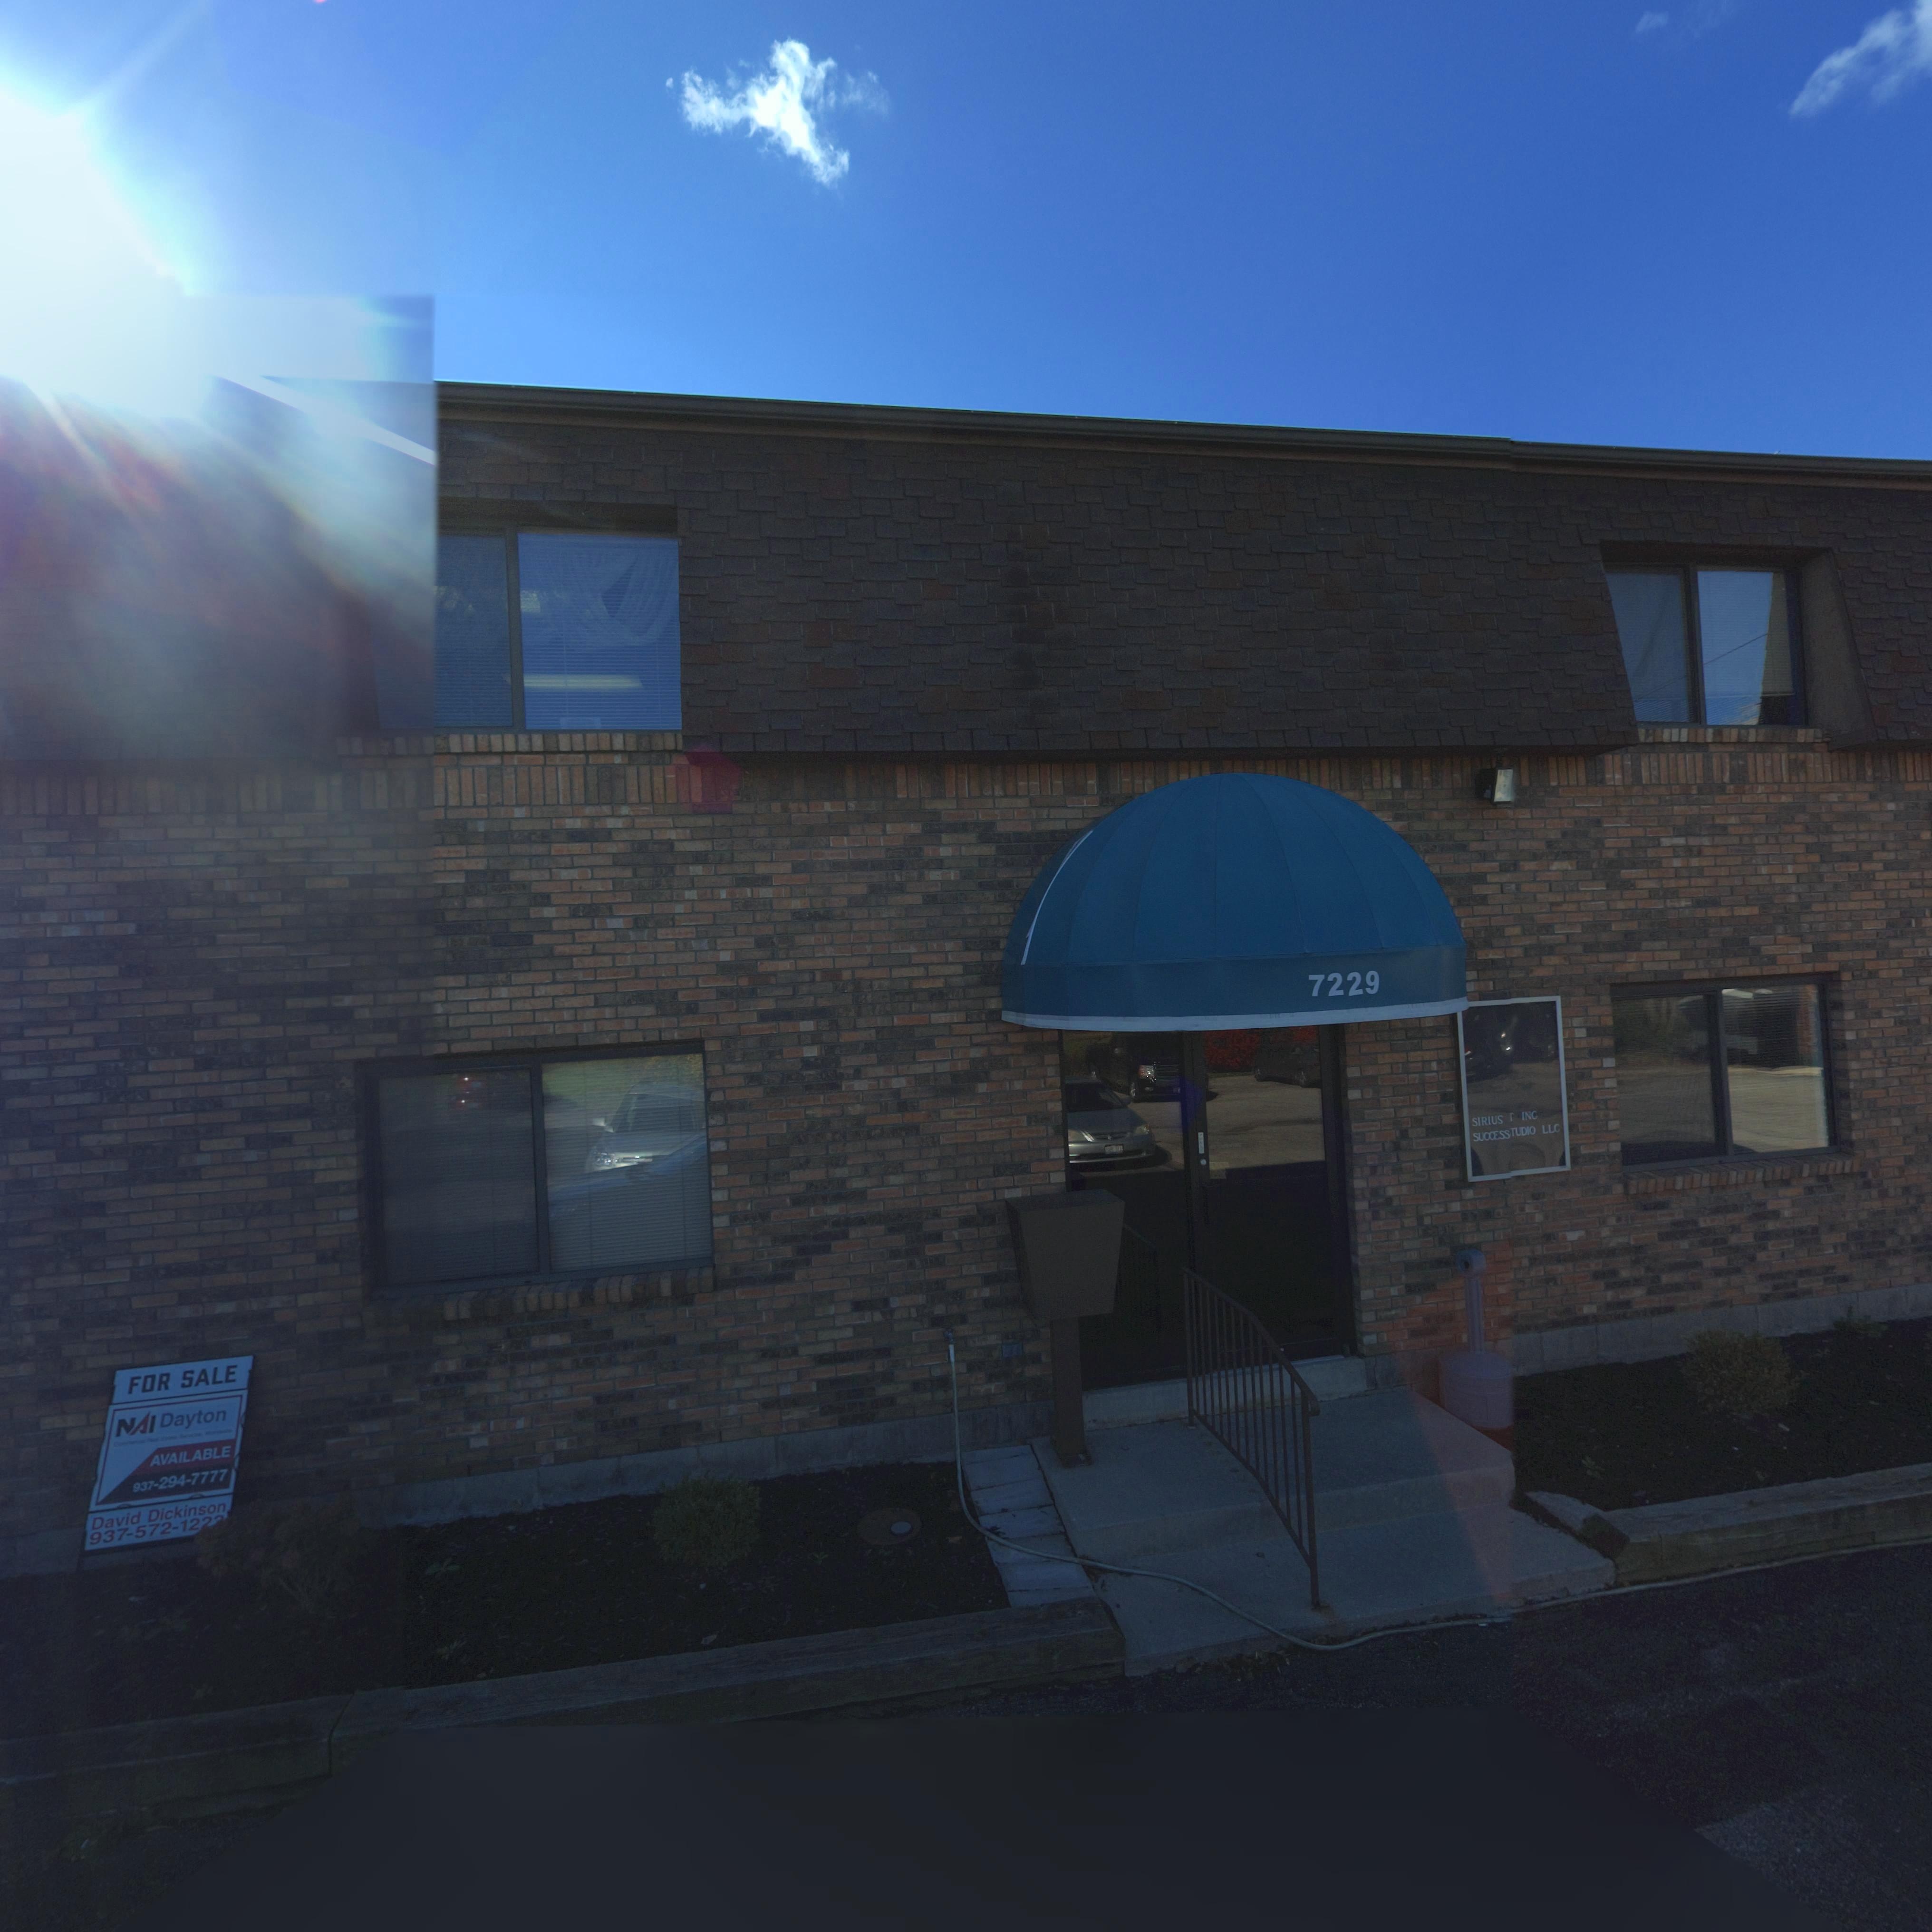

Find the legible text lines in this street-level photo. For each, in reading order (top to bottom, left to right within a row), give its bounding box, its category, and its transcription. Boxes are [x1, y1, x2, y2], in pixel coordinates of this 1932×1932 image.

[1308, 970, 1381, 997] StreetNumber: 7229
[1471, 1110, 1539, 1128] BusinessName: SIRIUS * INC
[1472, 1123, 1561, 1143] BusinessName: SUCCESS TUDIO LLC